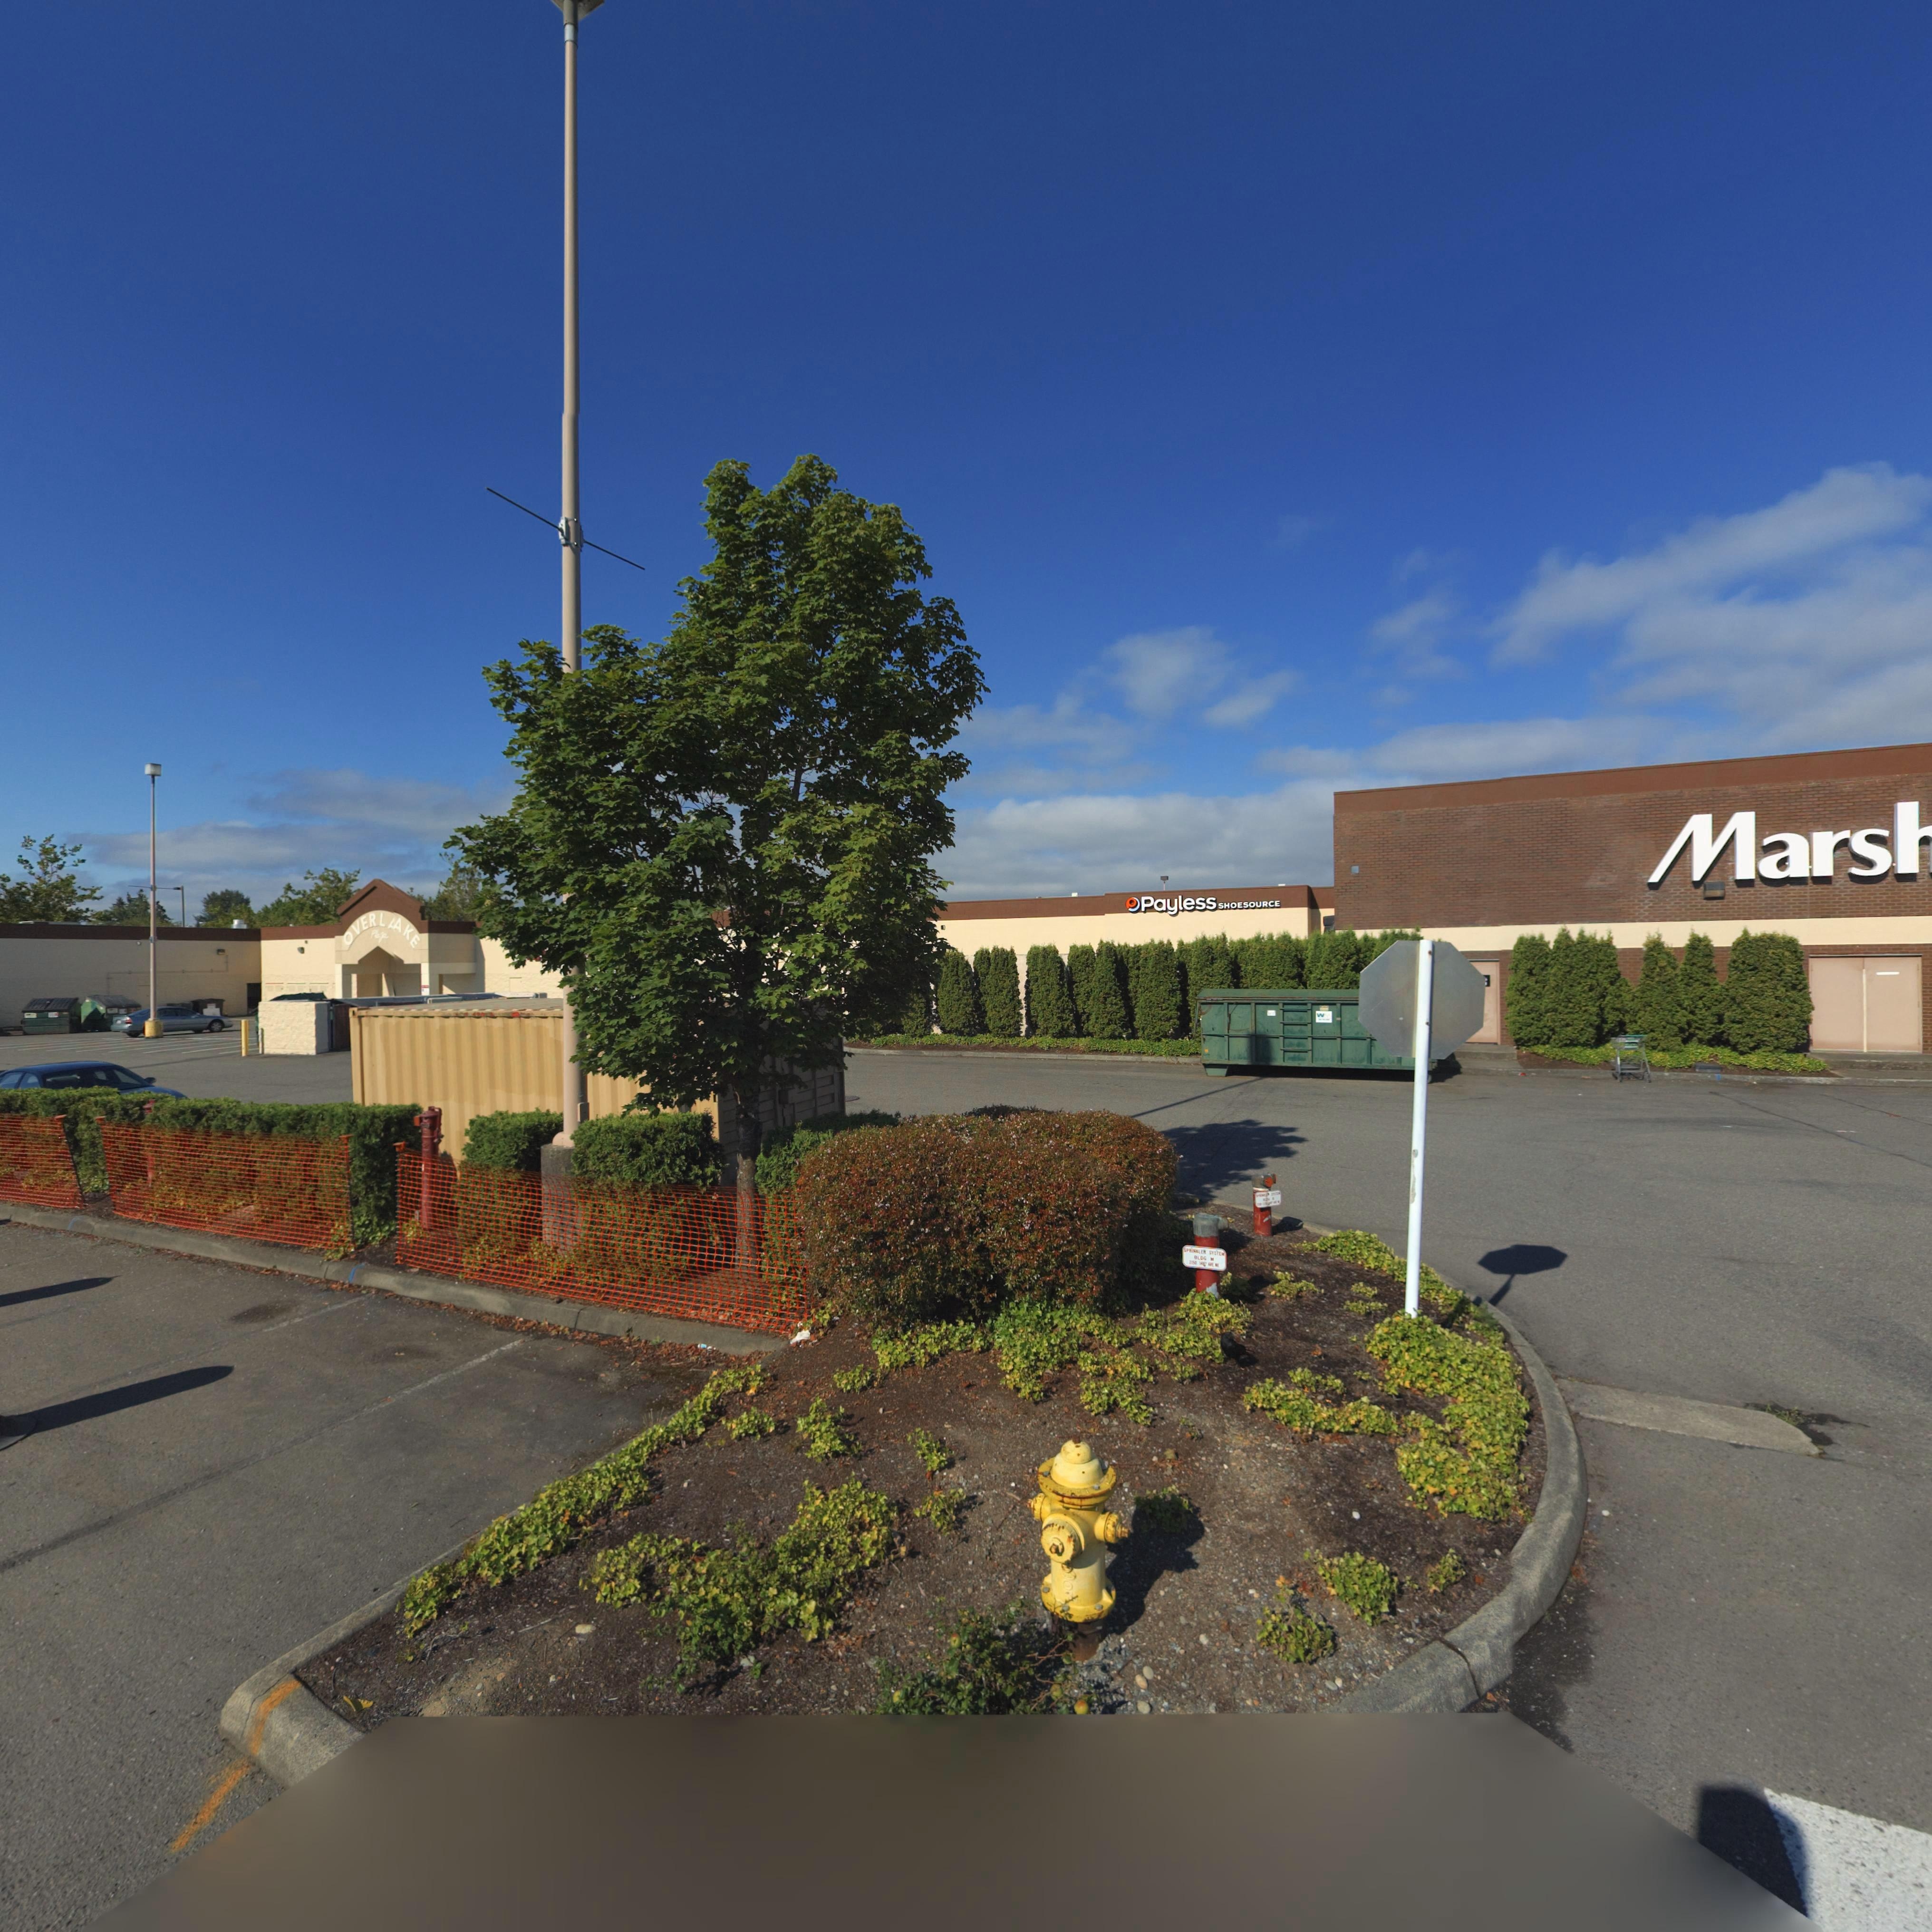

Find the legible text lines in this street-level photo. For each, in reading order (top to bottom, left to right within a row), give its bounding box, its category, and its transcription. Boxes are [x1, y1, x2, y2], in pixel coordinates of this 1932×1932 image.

[1643, 797, 1932, 885] BusinessName: Mars*
[1218, 899, 1280, 911] BusinessName: SHOESOURCE